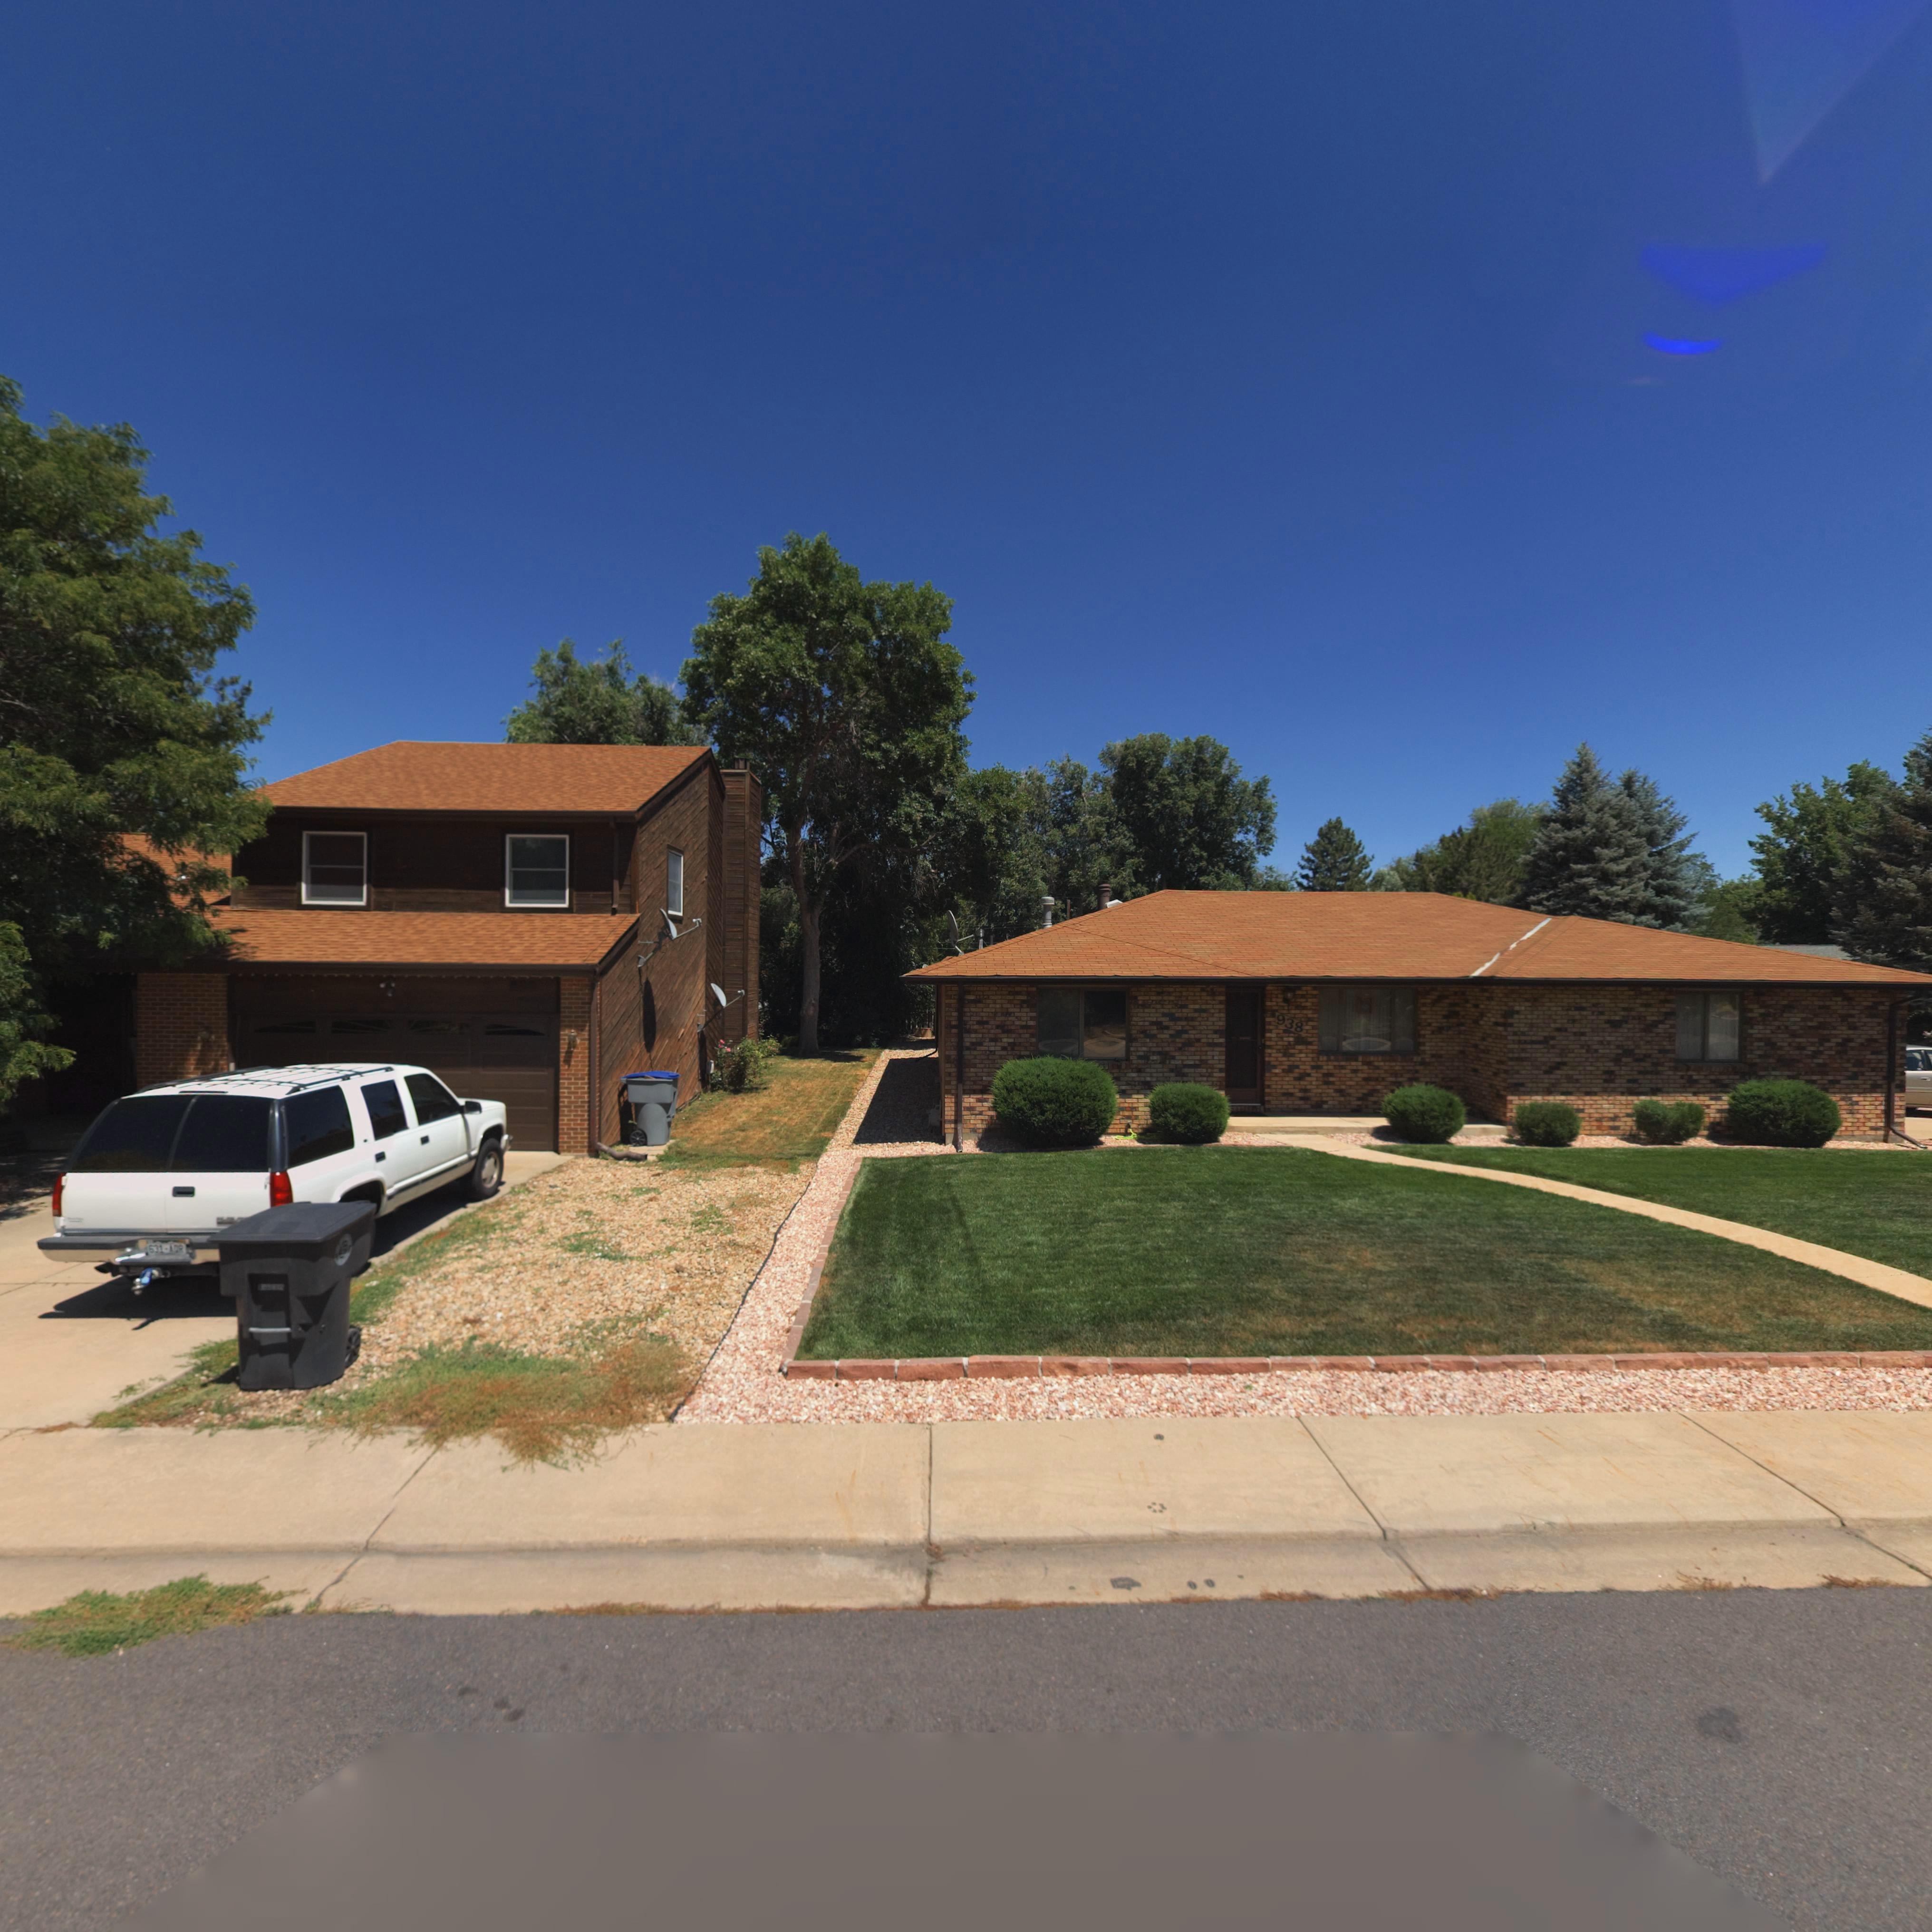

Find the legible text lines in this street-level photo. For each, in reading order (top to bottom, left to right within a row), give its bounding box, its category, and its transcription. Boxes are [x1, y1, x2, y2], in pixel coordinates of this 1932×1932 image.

[1276, 1014, 1303, 1033] StreetNumber: 938